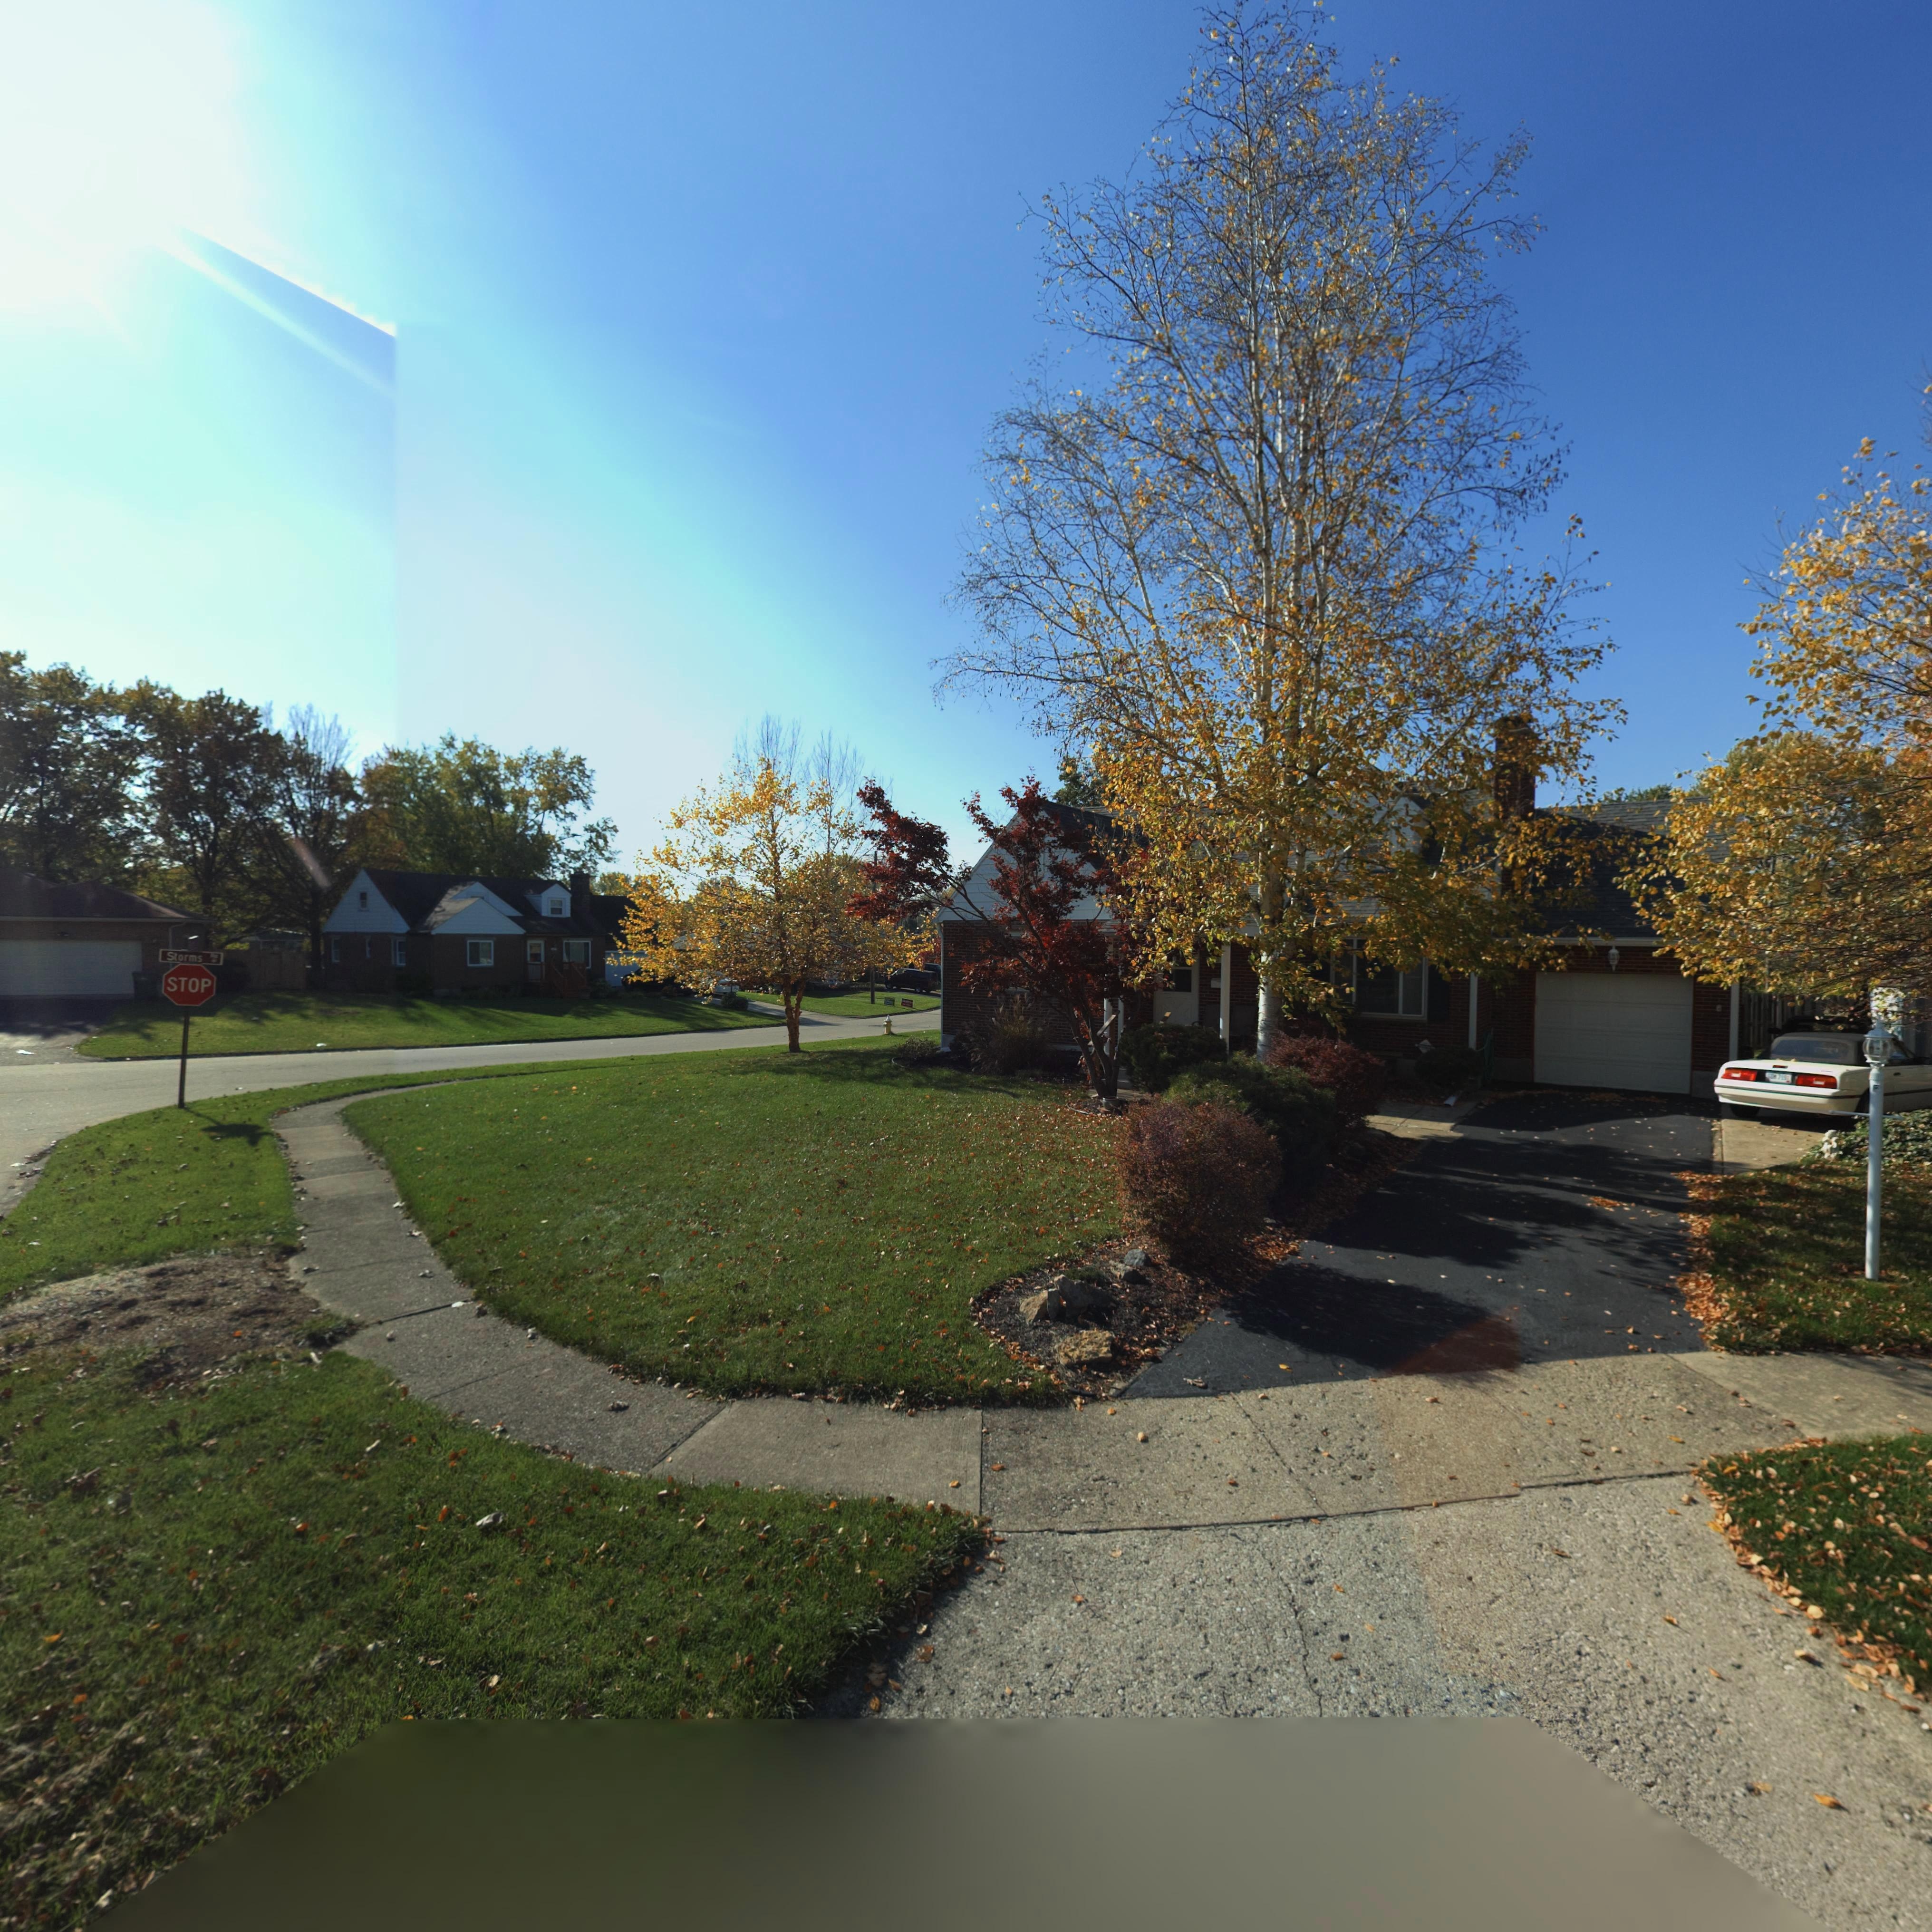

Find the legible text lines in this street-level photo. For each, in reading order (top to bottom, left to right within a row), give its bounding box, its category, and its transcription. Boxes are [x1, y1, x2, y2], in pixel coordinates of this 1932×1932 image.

[166, 951, 203, 963] StreetName: Storms
[166, 976, 212, 993] None: STOP
[1784, 1074, 1790, 1081] None: 9*